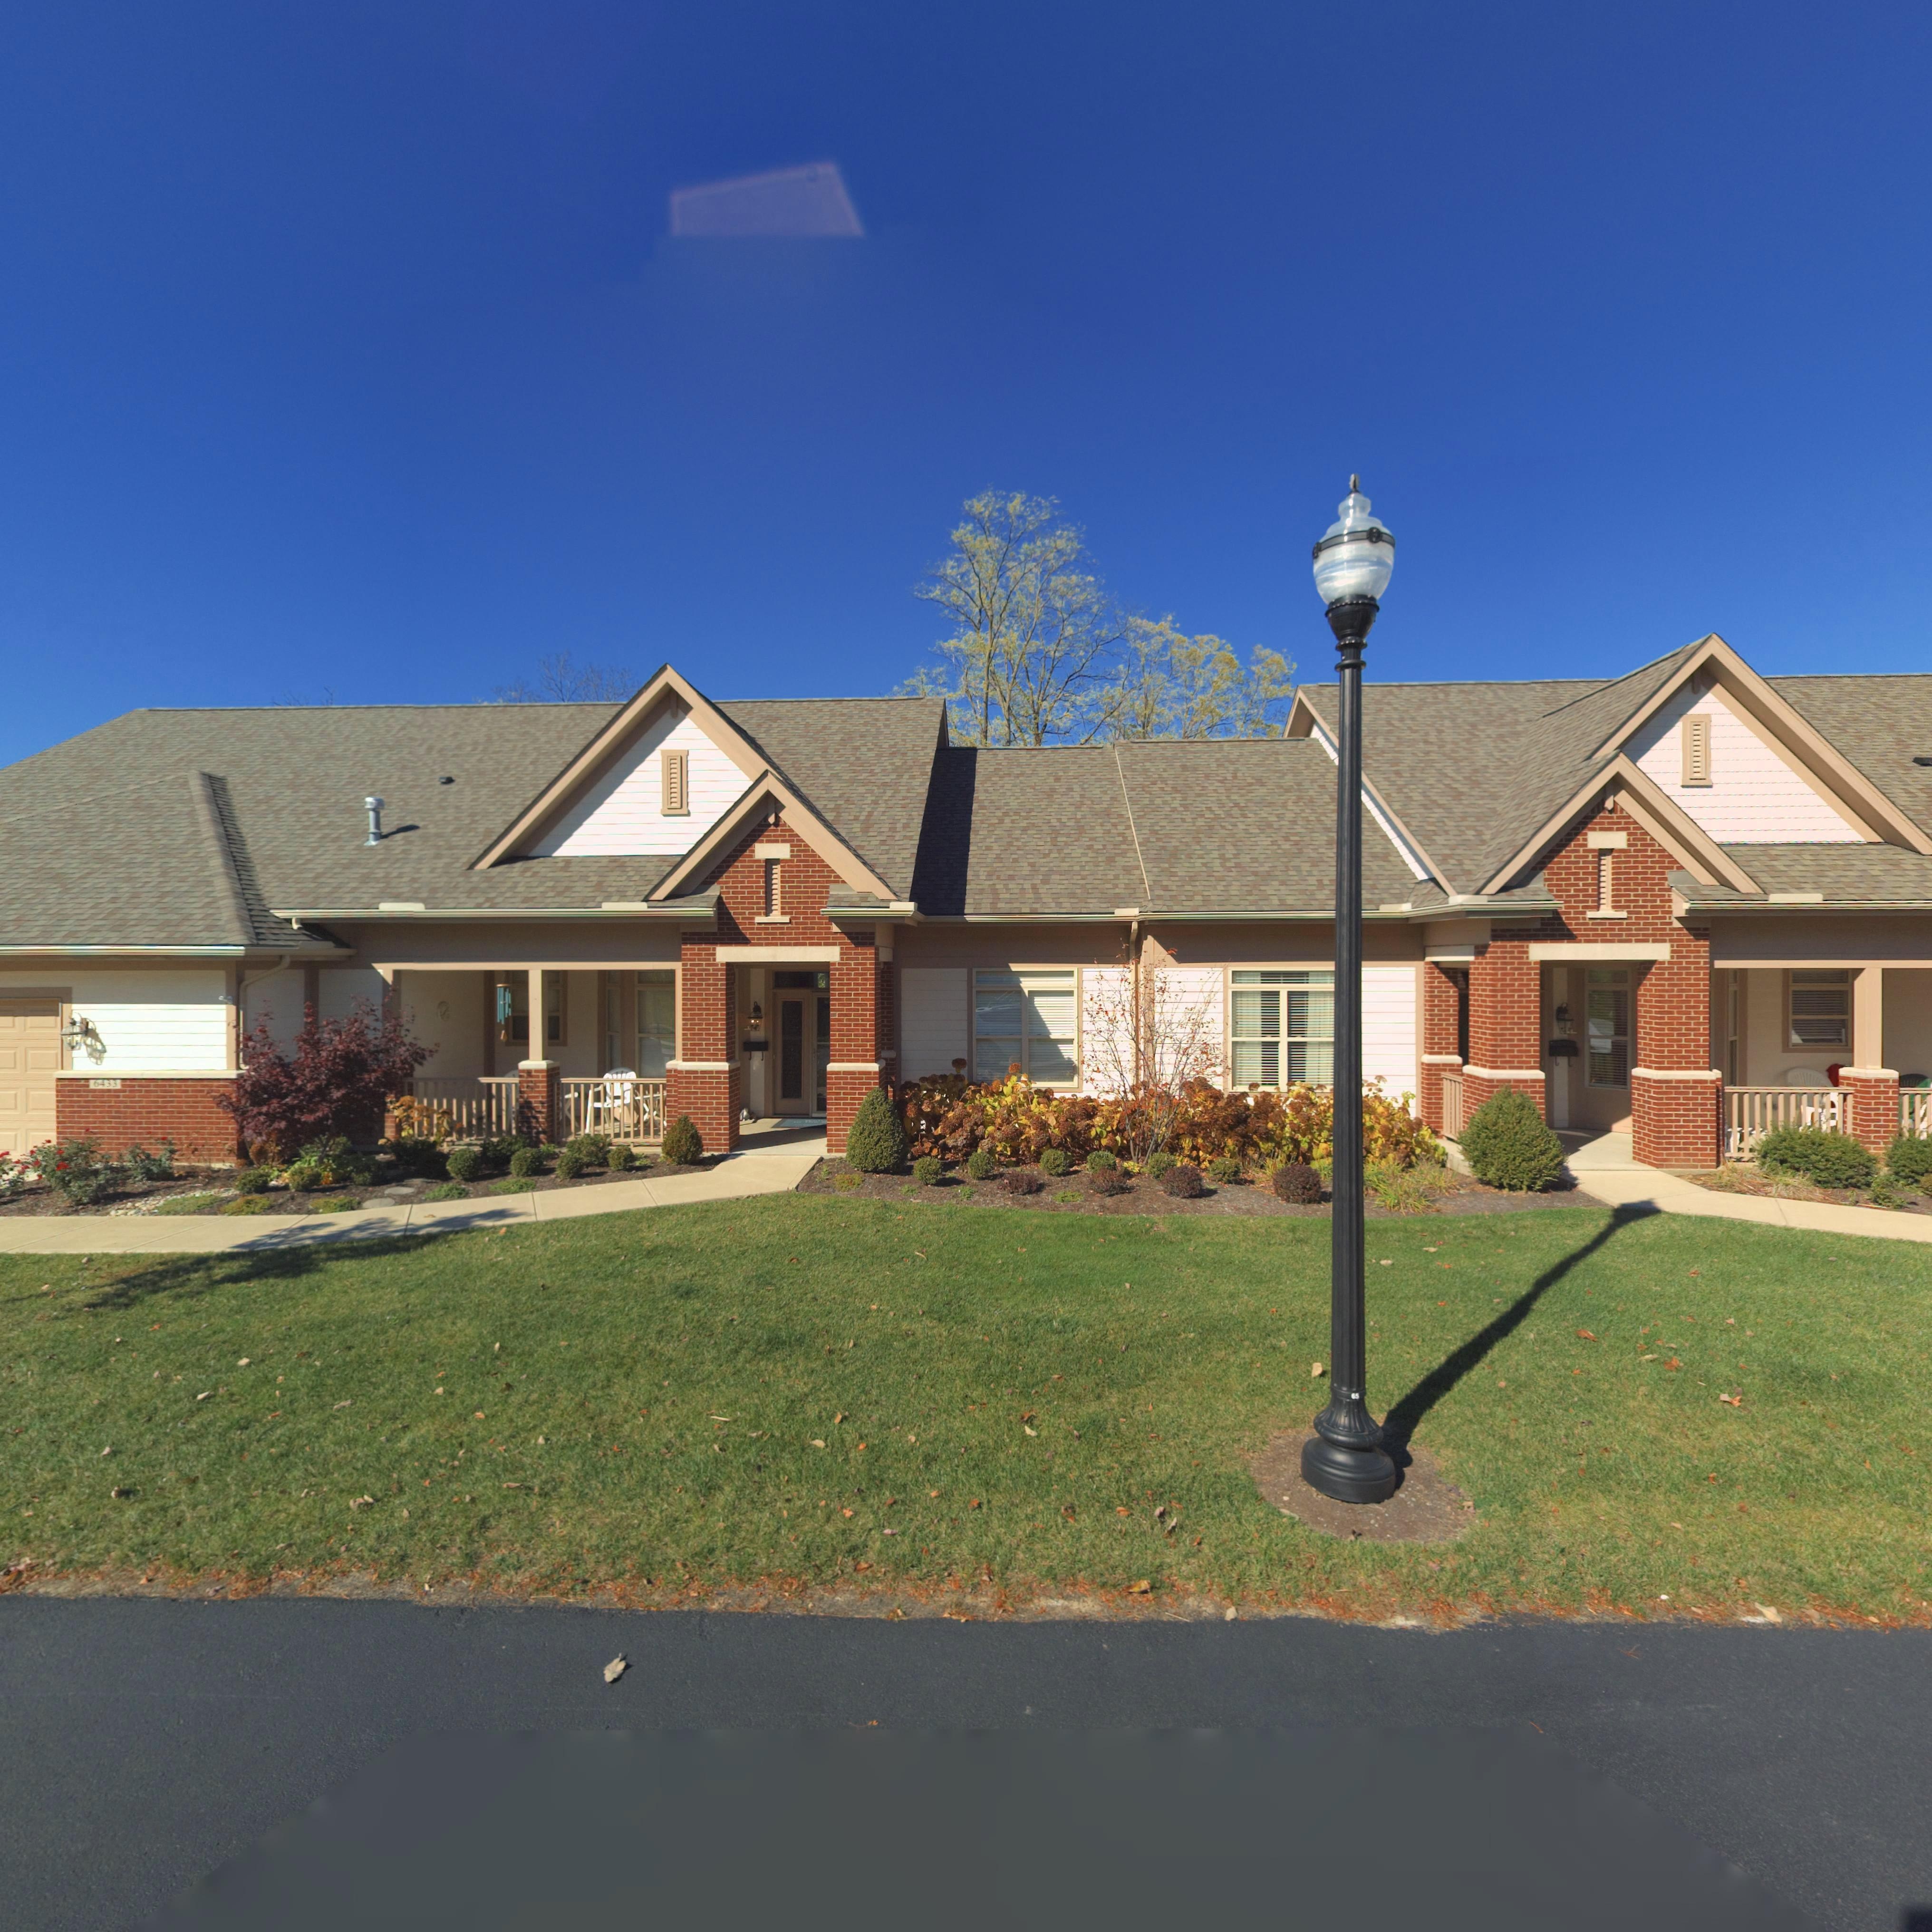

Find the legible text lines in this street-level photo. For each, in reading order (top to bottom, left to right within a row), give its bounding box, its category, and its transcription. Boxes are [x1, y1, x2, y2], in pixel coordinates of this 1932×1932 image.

[93, 1078, 118, 1088] StreetNumber: 6433